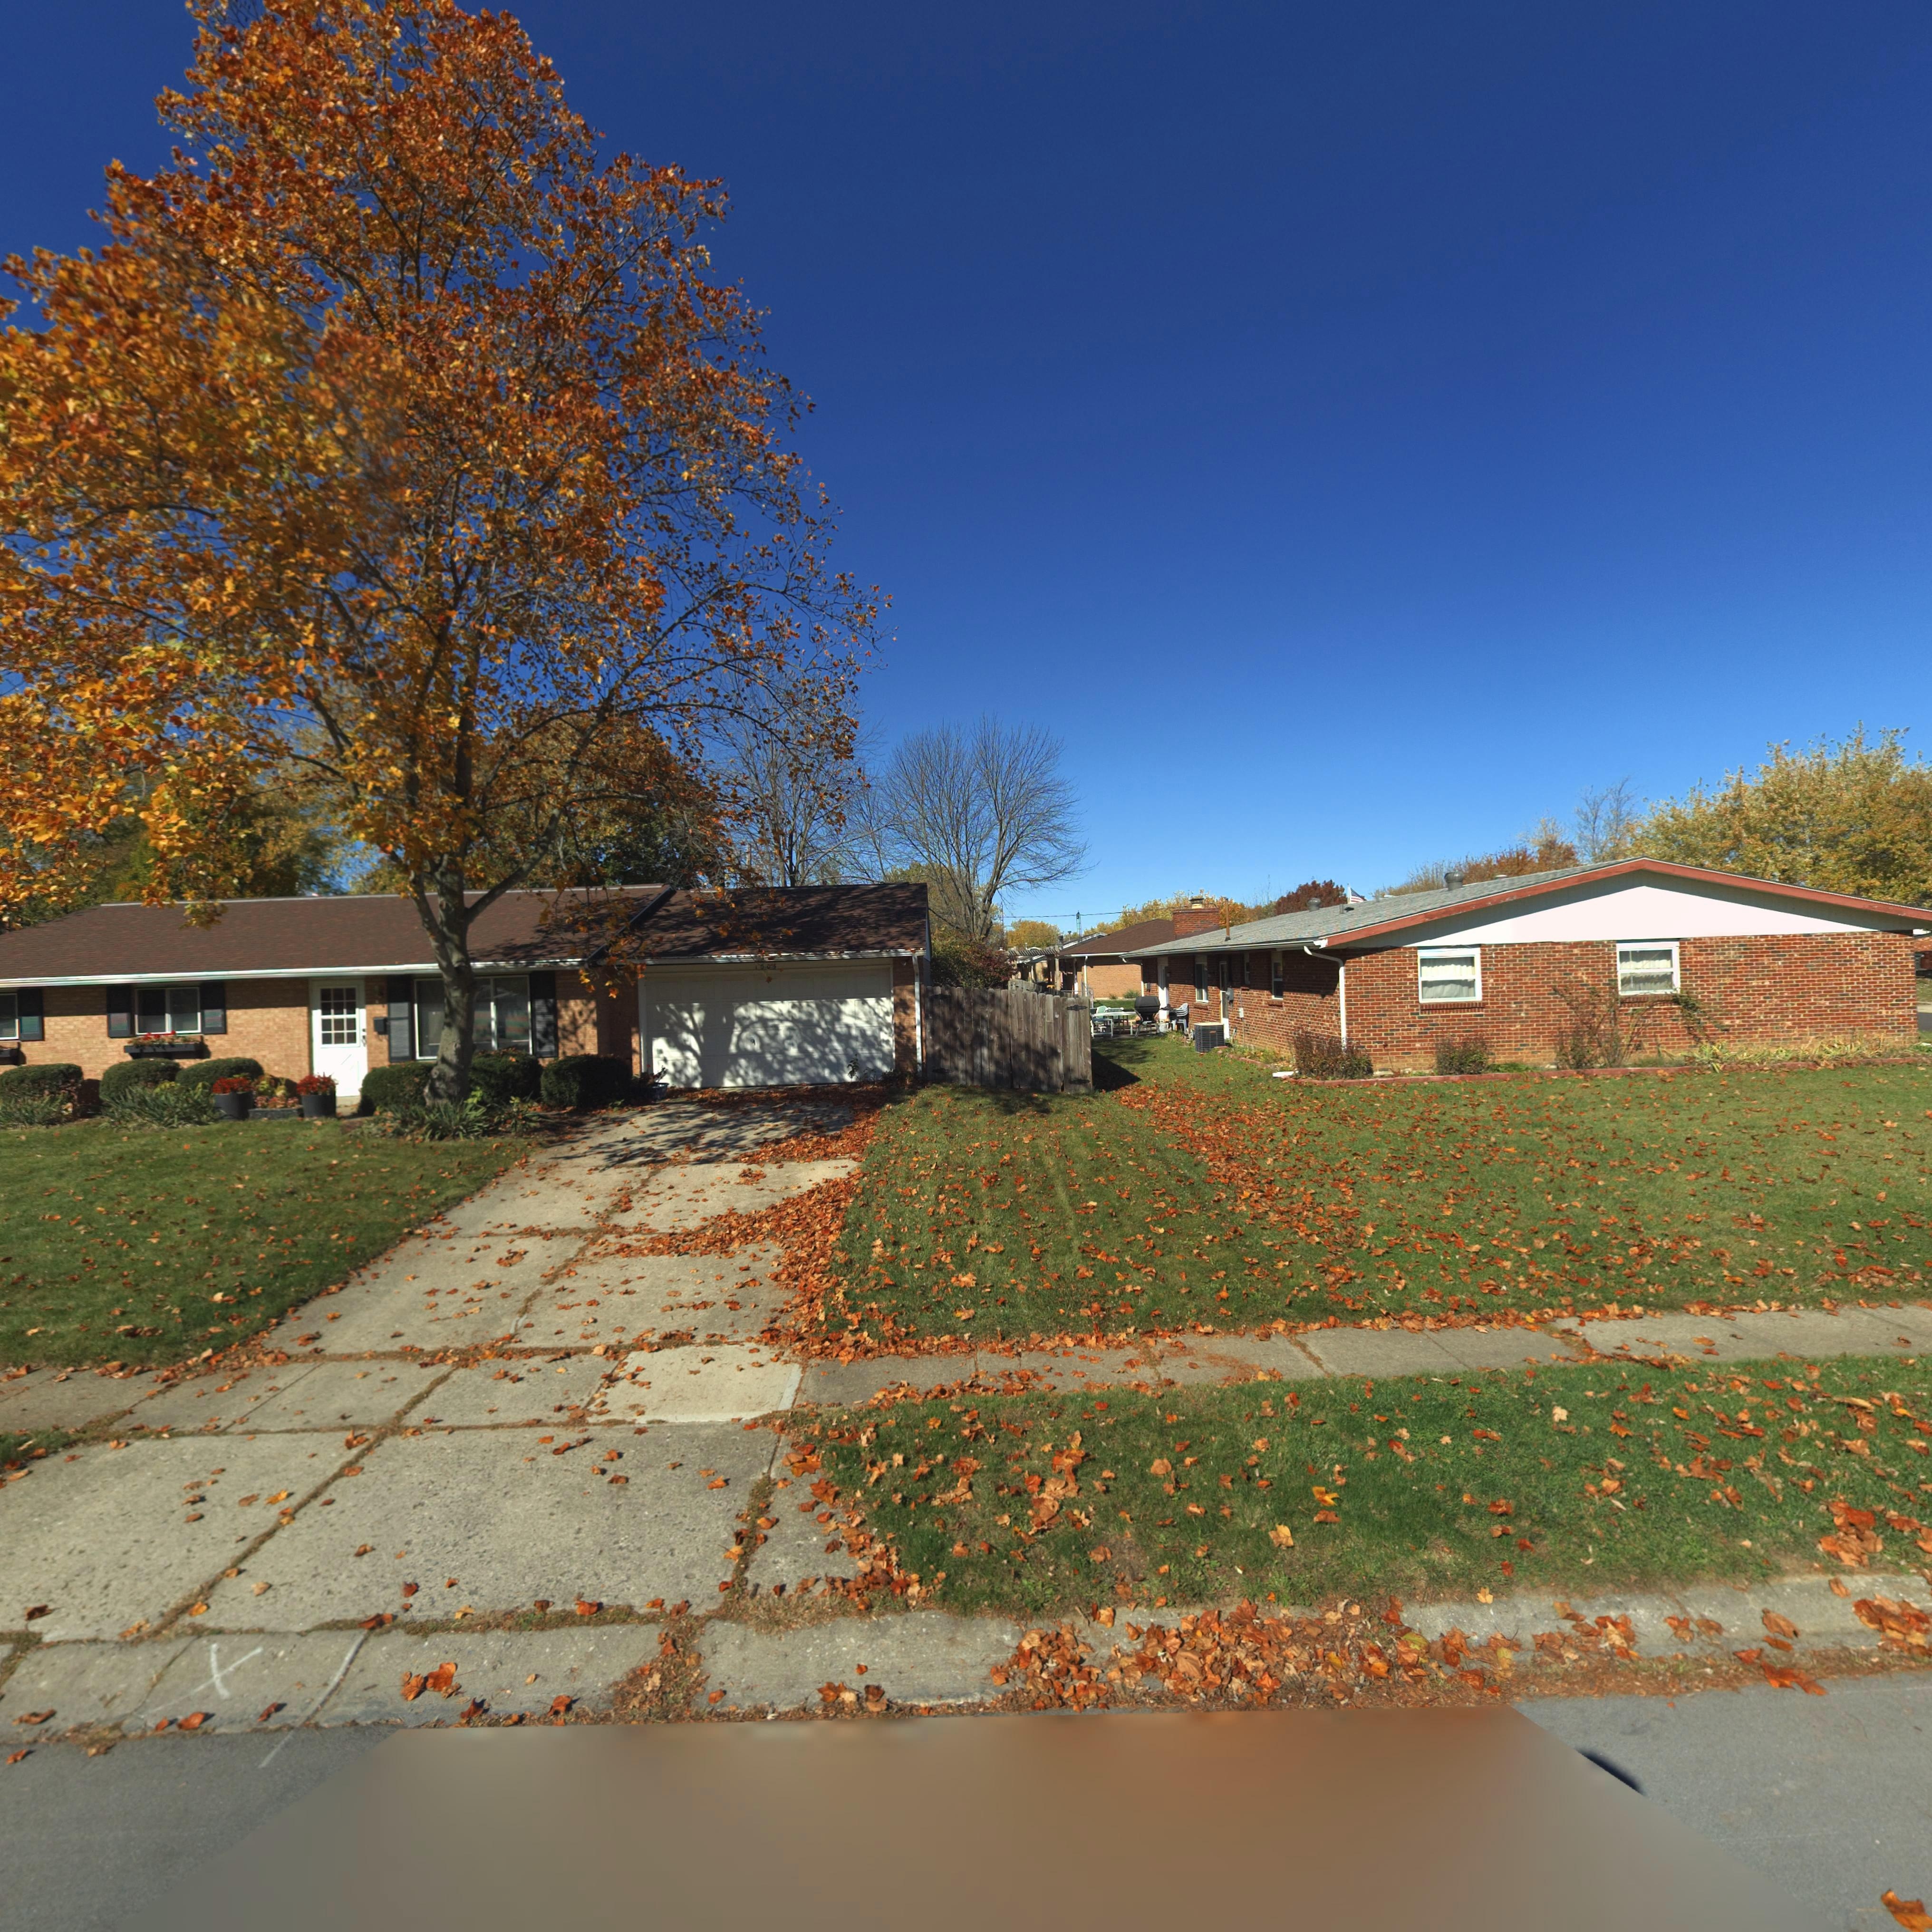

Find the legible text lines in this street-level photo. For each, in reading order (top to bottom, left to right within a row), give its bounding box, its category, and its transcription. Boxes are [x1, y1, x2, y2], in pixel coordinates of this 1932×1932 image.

[754, 963, 777, 970] StreetNumber: 100*